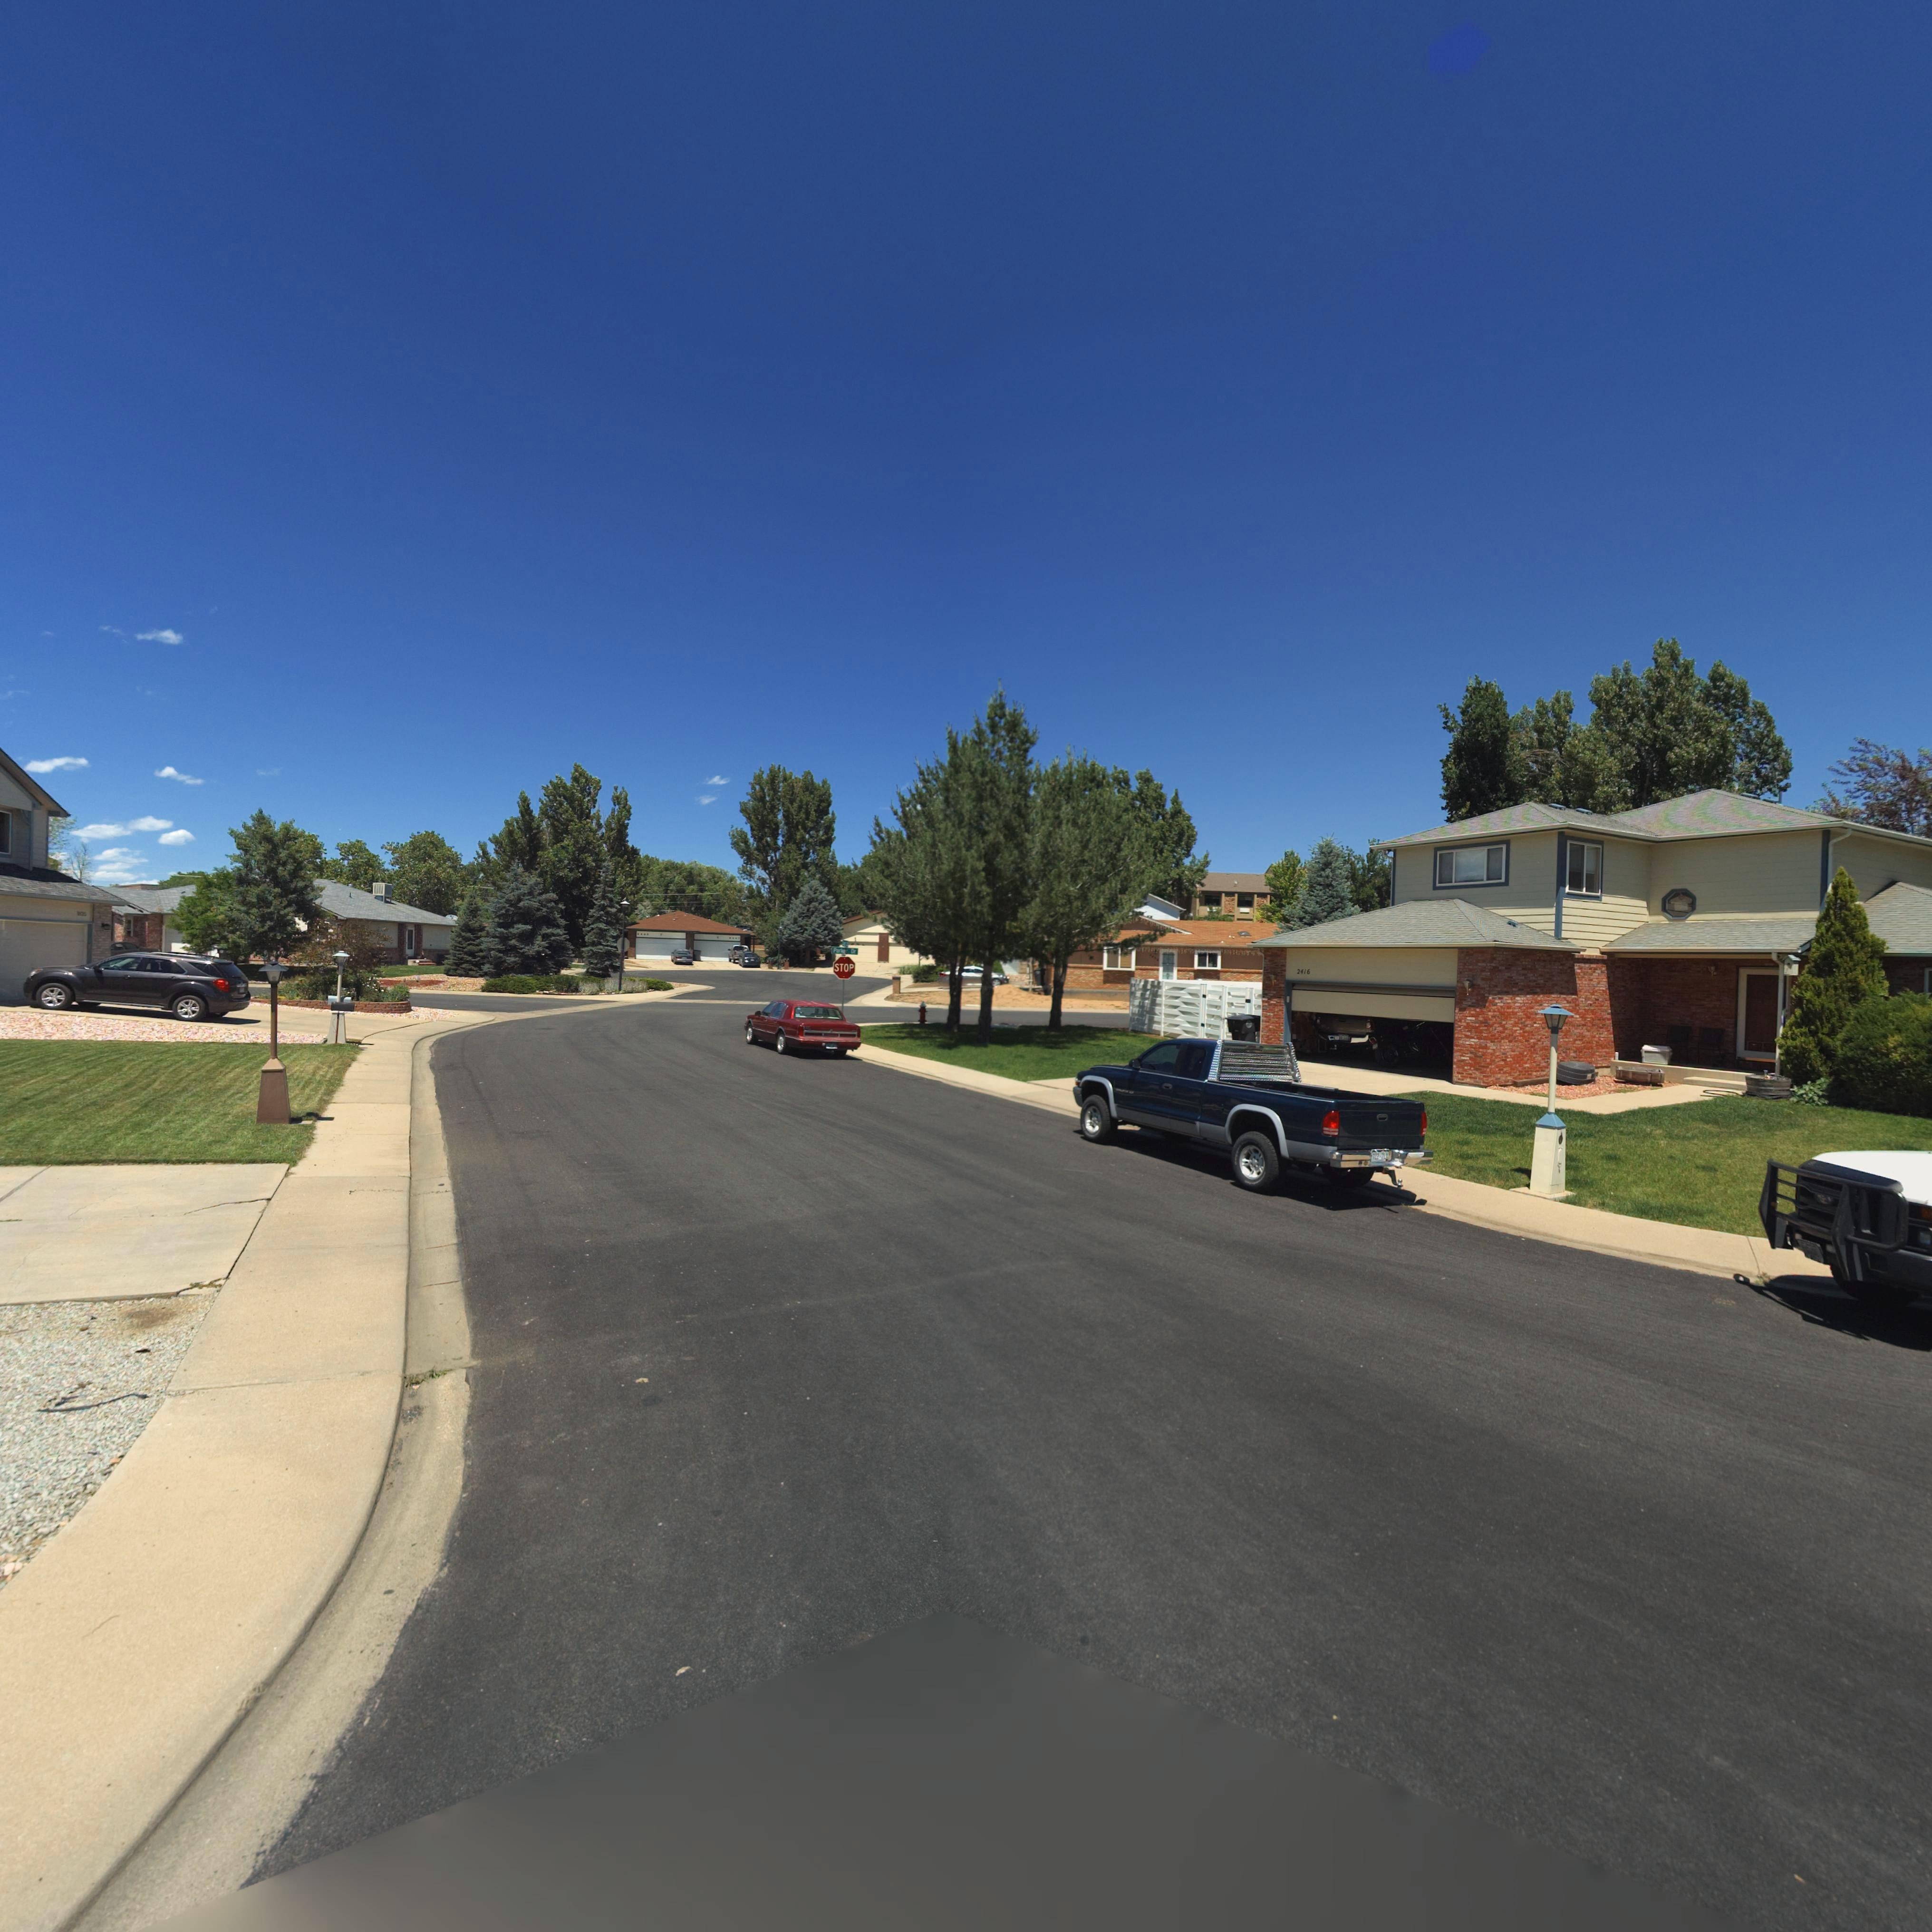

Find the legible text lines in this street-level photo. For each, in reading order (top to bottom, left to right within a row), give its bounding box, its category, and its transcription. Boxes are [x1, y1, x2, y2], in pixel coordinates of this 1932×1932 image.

[833, 947, 857, 954] StreetName: Par*er Dr
[1296, 968, 1310, 974] StreetNumber: 2416